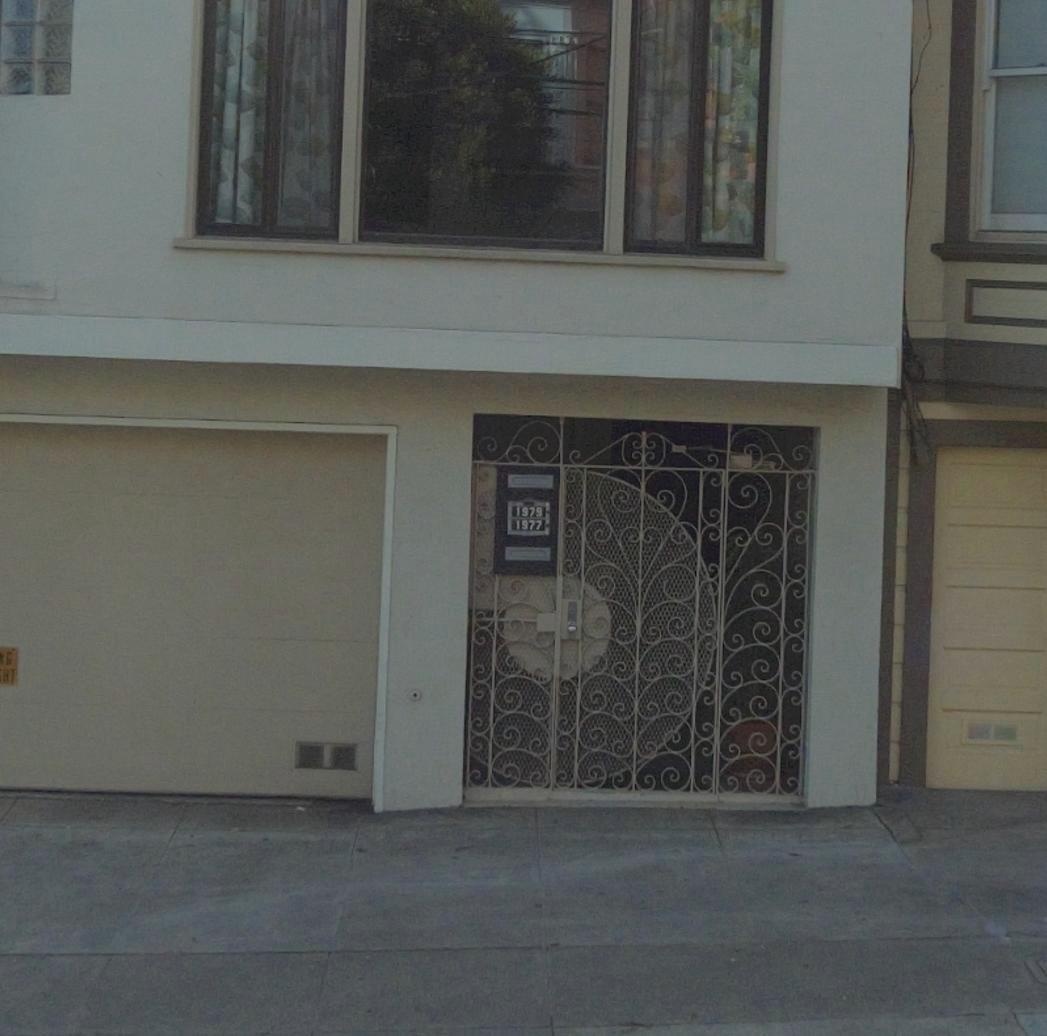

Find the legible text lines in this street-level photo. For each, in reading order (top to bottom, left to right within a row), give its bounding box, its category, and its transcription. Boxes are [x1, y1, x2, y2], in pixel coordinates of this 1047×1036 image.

[515, 505, 544, 518] StreetNumber: 1979
[515, 518, 544, 532] StreetNumber: 1977